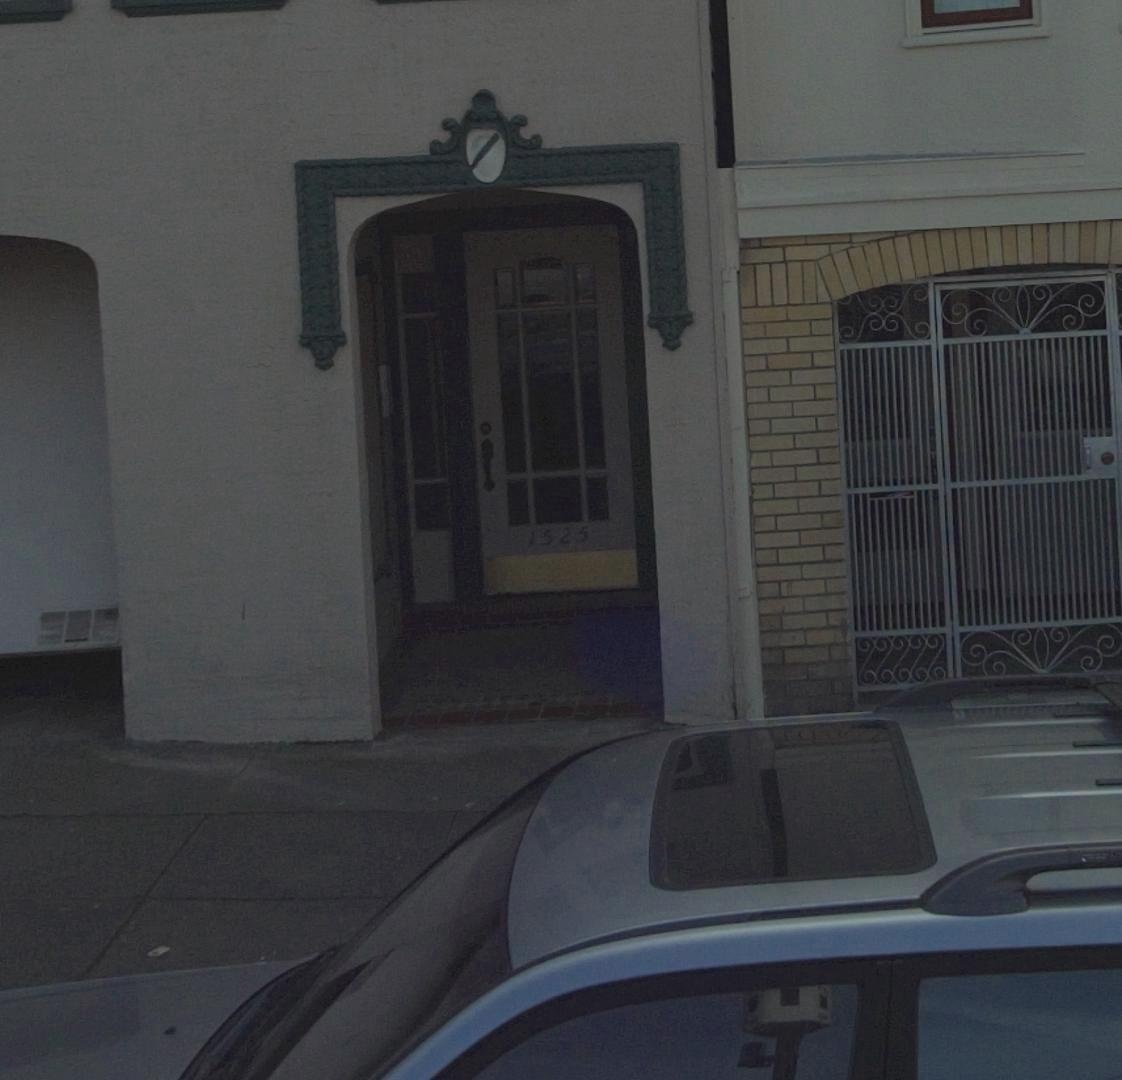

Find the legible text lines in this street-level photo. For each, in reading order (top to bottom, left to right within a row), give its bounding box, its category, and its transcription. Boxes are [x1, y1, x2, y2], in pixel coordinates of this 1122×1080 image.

[527, 525, 591, 547] StreetNumber: 1525